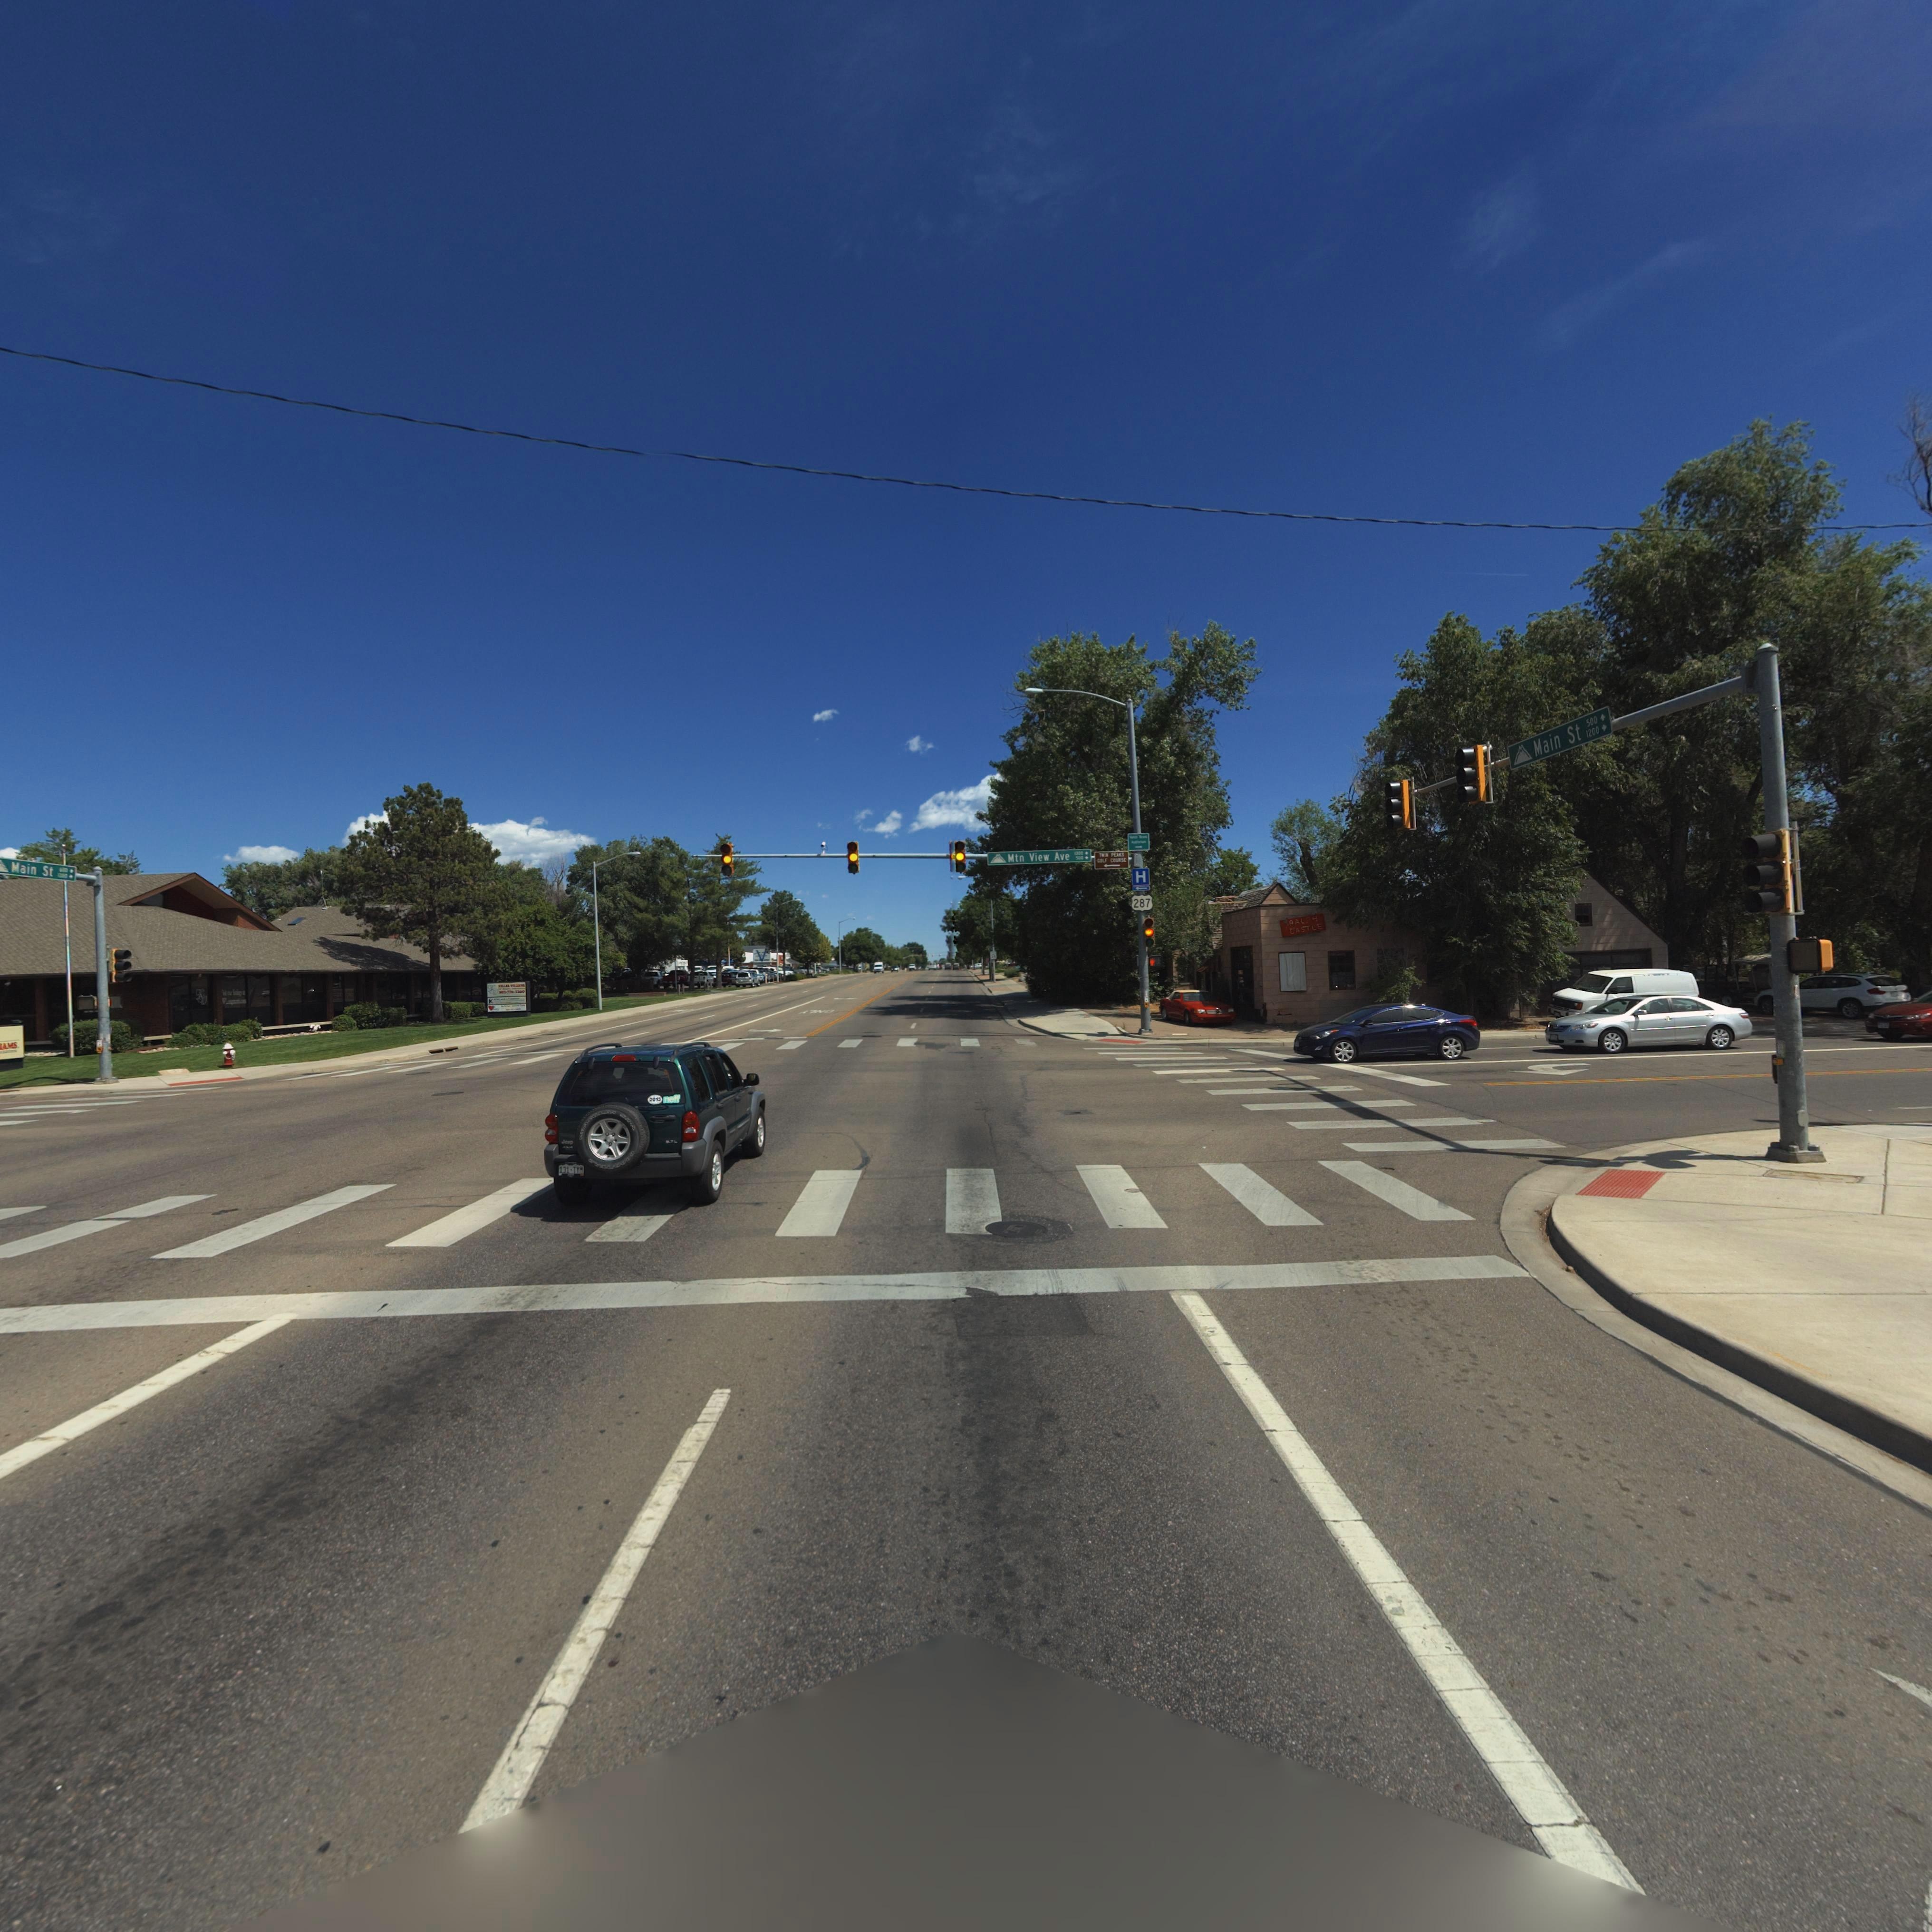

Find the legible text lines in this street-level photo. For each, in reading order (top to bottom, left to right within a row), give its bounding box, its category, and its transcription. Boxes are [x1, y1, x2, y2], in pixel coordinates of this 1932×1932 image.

[1586, 715, 1598, 727] StreetNumberRange: 500
[1586, 724, 1607, 738] StreetNumberRange: 1200->
[1533, 723, 1582, 757] StreetName: Main St
[1008, 851, 1070, 863] StreetName: Mtn View Ave
[1074, 851, 1083, 855] StreetNumberRange: 1*0*
[1075, 855, 1083, 860] StreetNumberRange: 5**
[11, 861, 54, 877] StreetName: Main St
[57, 872, 68, 879] StreetNumberRange: ***0
[1289, 916, 1318, 926] BusinessName: RAL**
[1289, 923, 1322, 934] BusinessName: CASTLE
[498, 984, 525, 987] BusinessName: **LL** *******
[2, 1042, 17, 1049] BusinessName: AMS